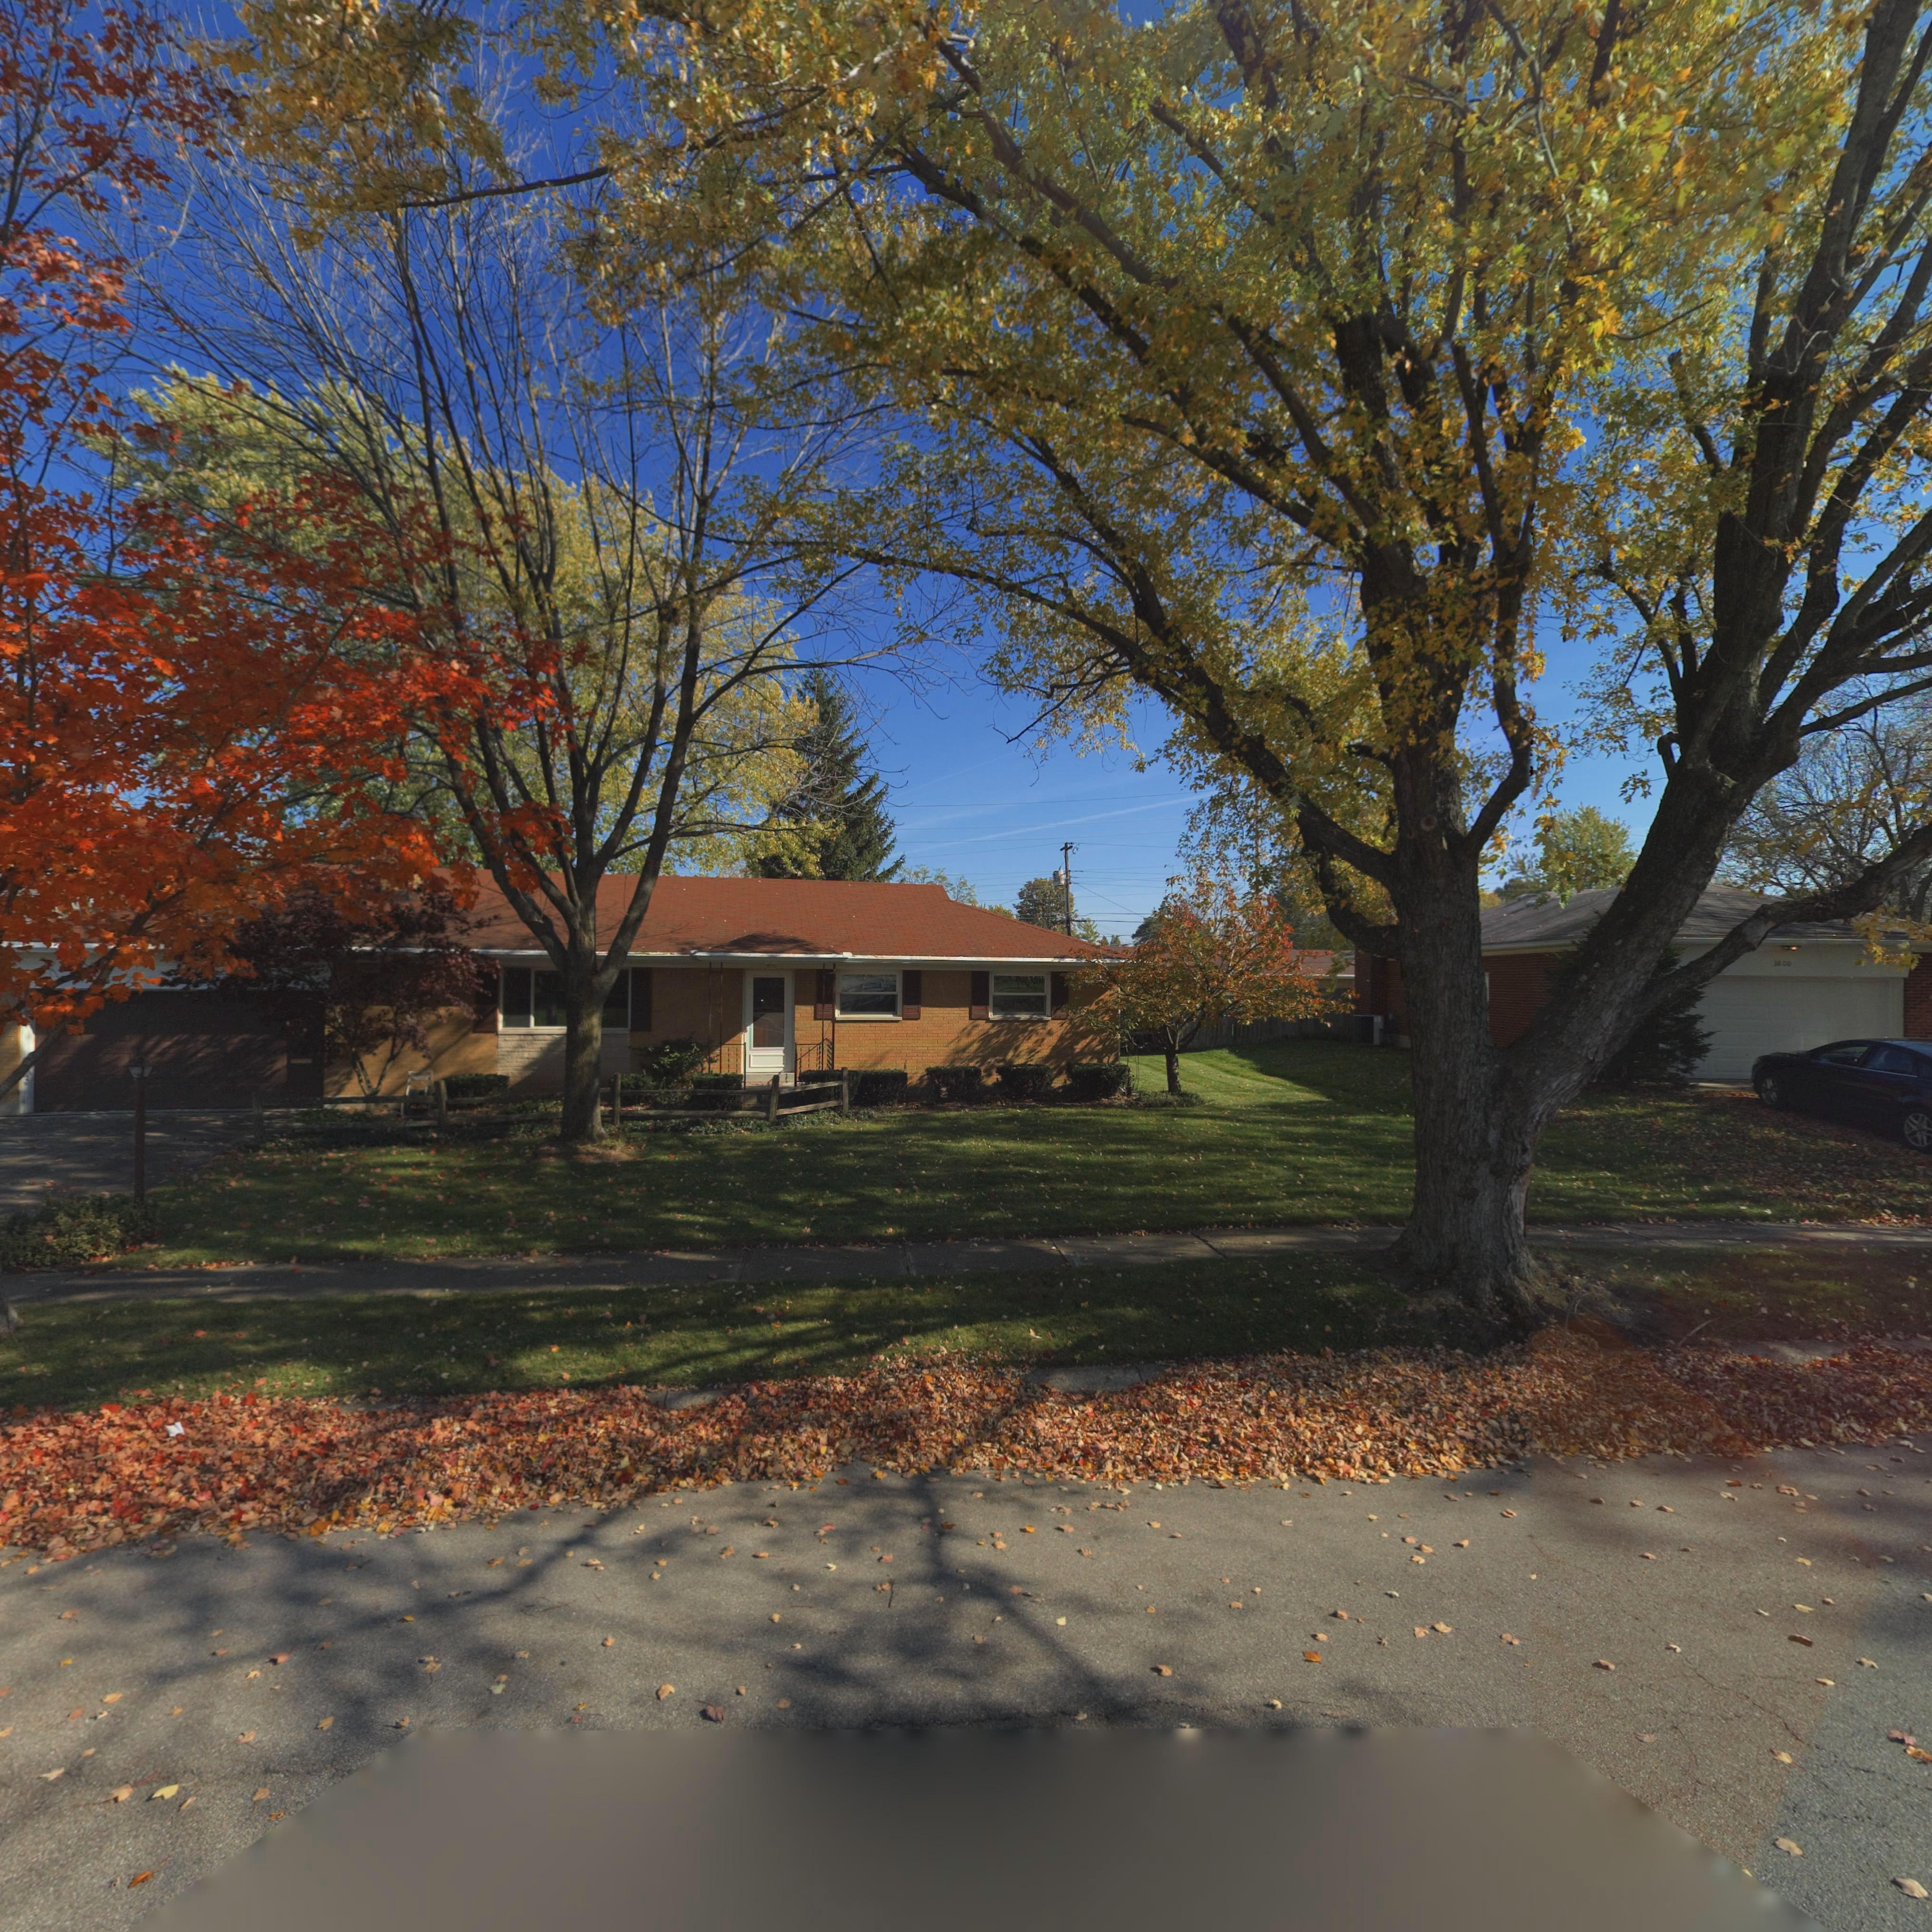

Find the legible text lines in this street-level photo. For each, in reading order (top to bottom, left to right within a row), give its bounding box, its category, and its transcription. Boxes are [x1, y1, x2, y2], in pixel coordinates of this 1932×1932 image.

[1772, 958, 1793, 968] StreetNumber: 380*